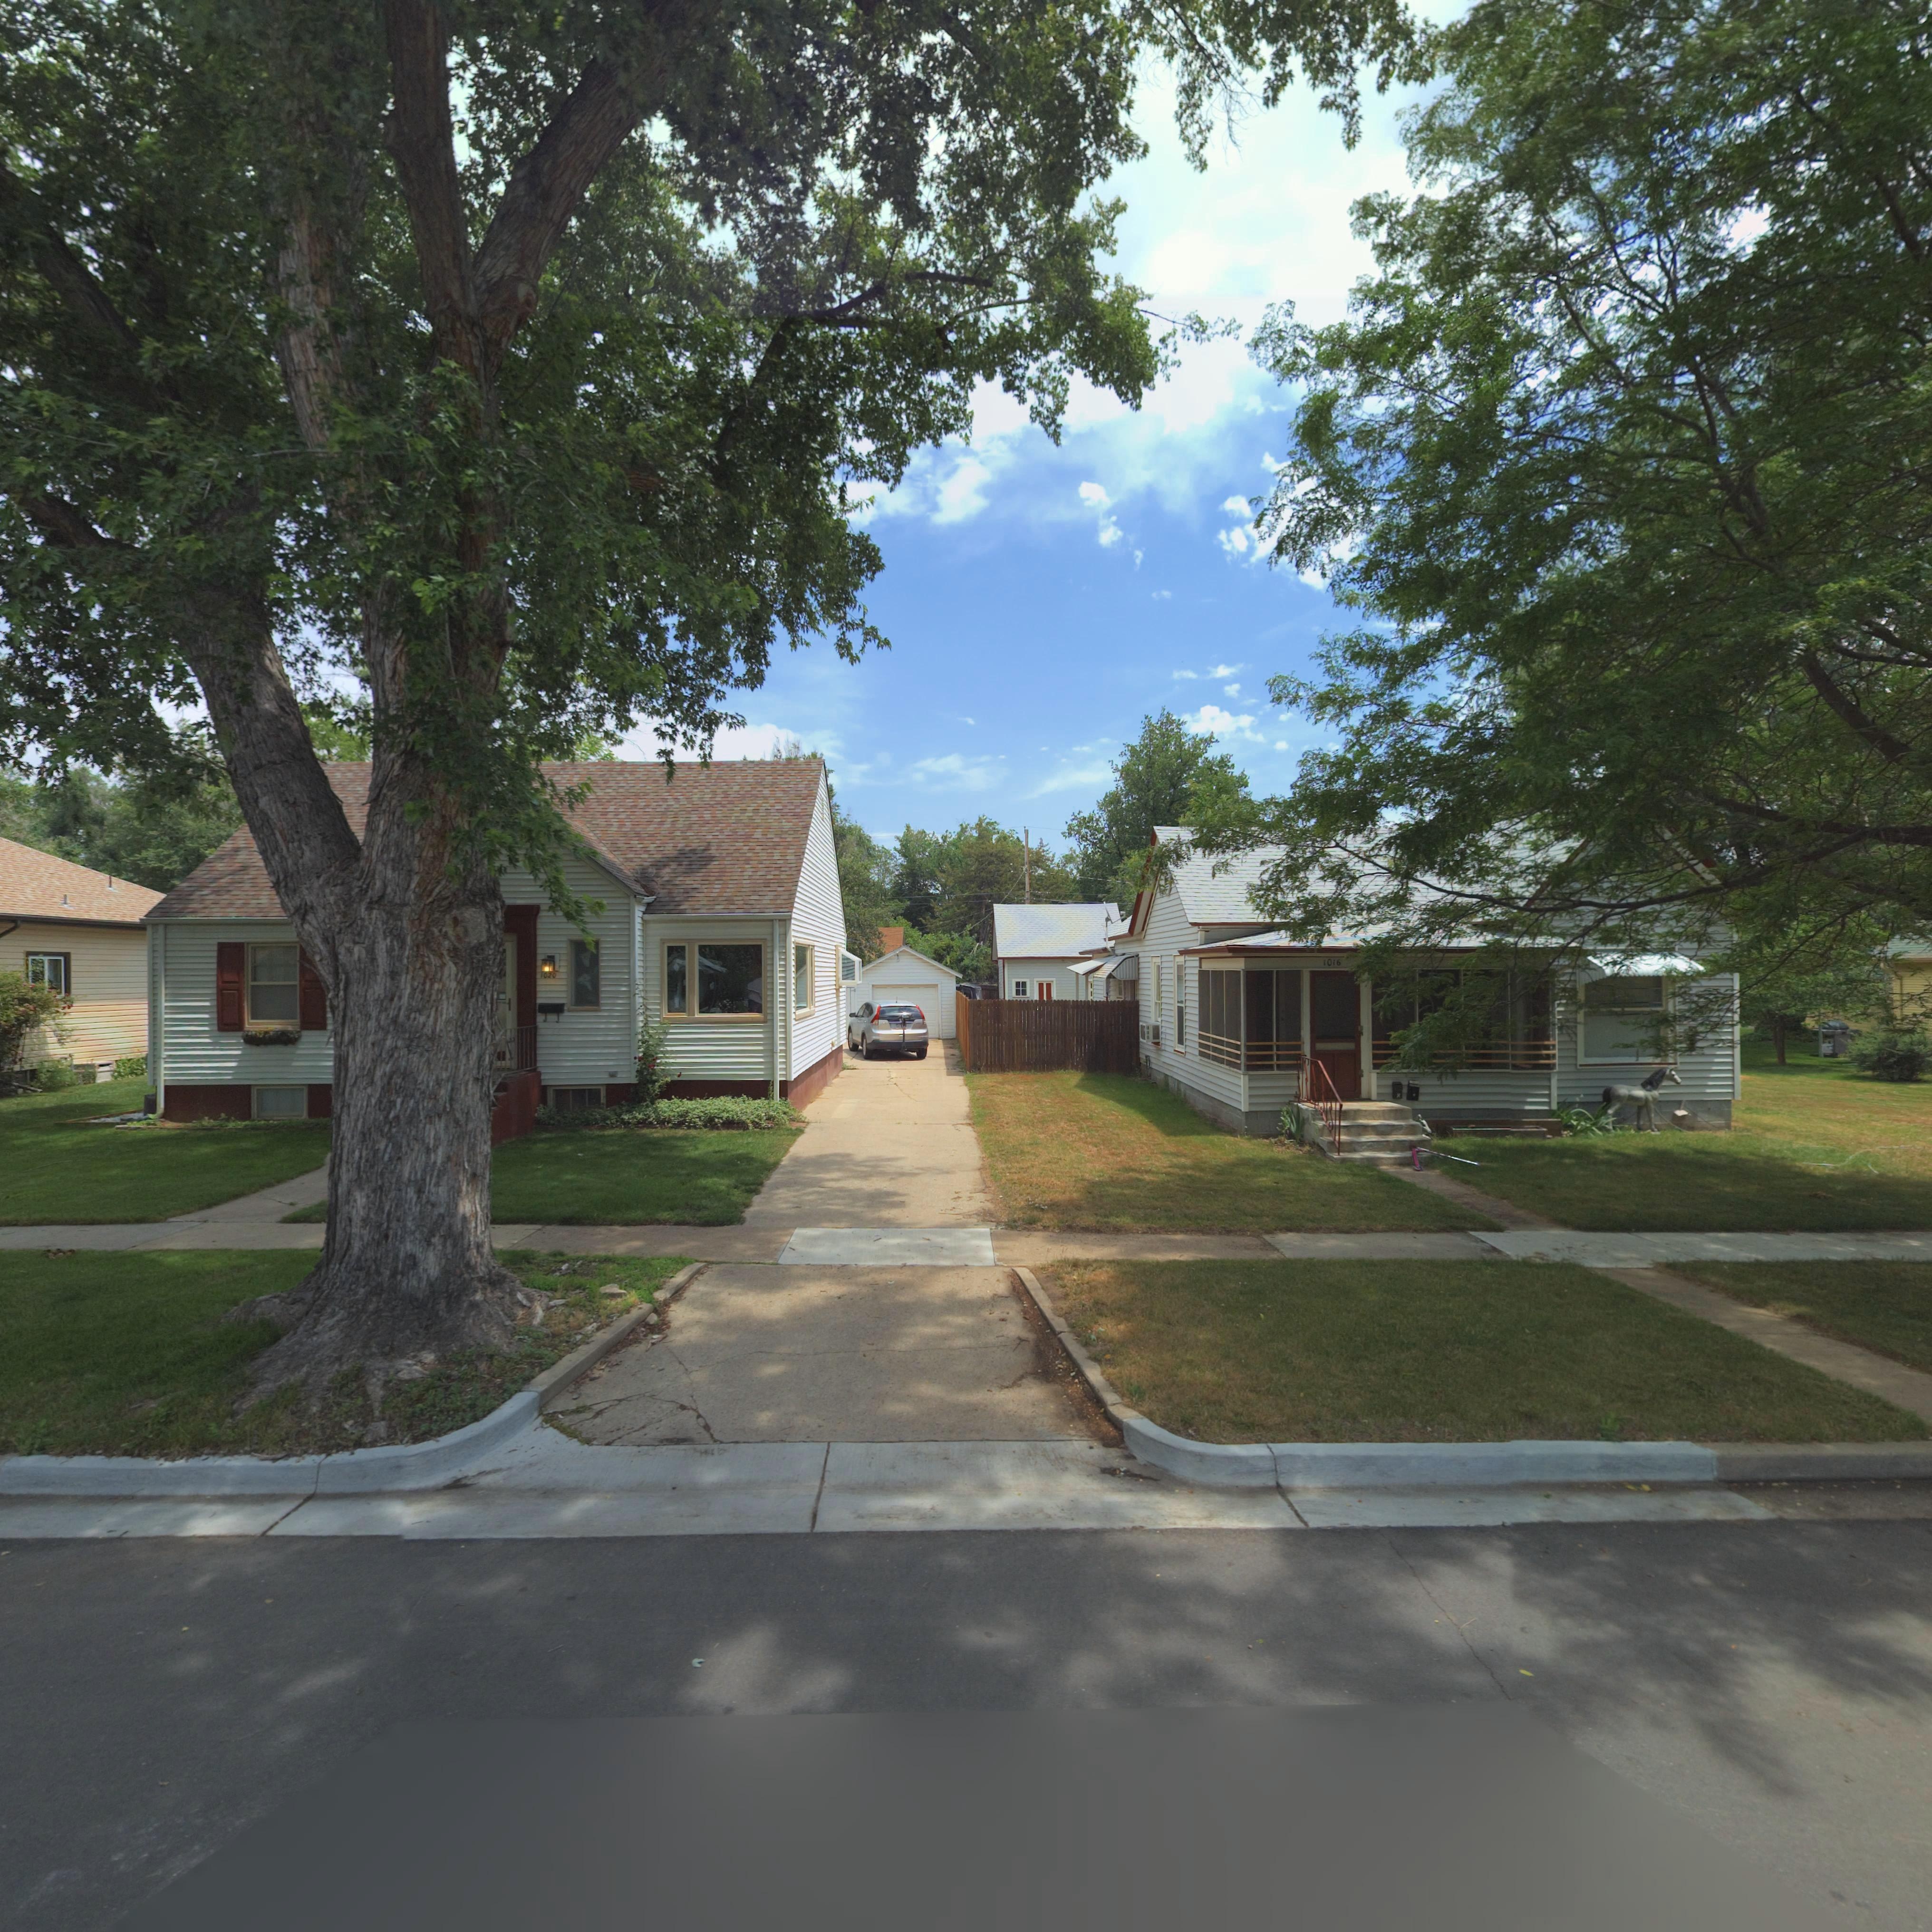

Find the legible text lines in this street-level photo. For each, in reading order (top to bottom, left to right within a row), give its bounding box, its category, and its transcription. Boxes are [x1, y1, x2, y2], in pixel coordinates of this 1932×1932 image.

[1323, 958, 1341, 966] StreetNumber: 1016